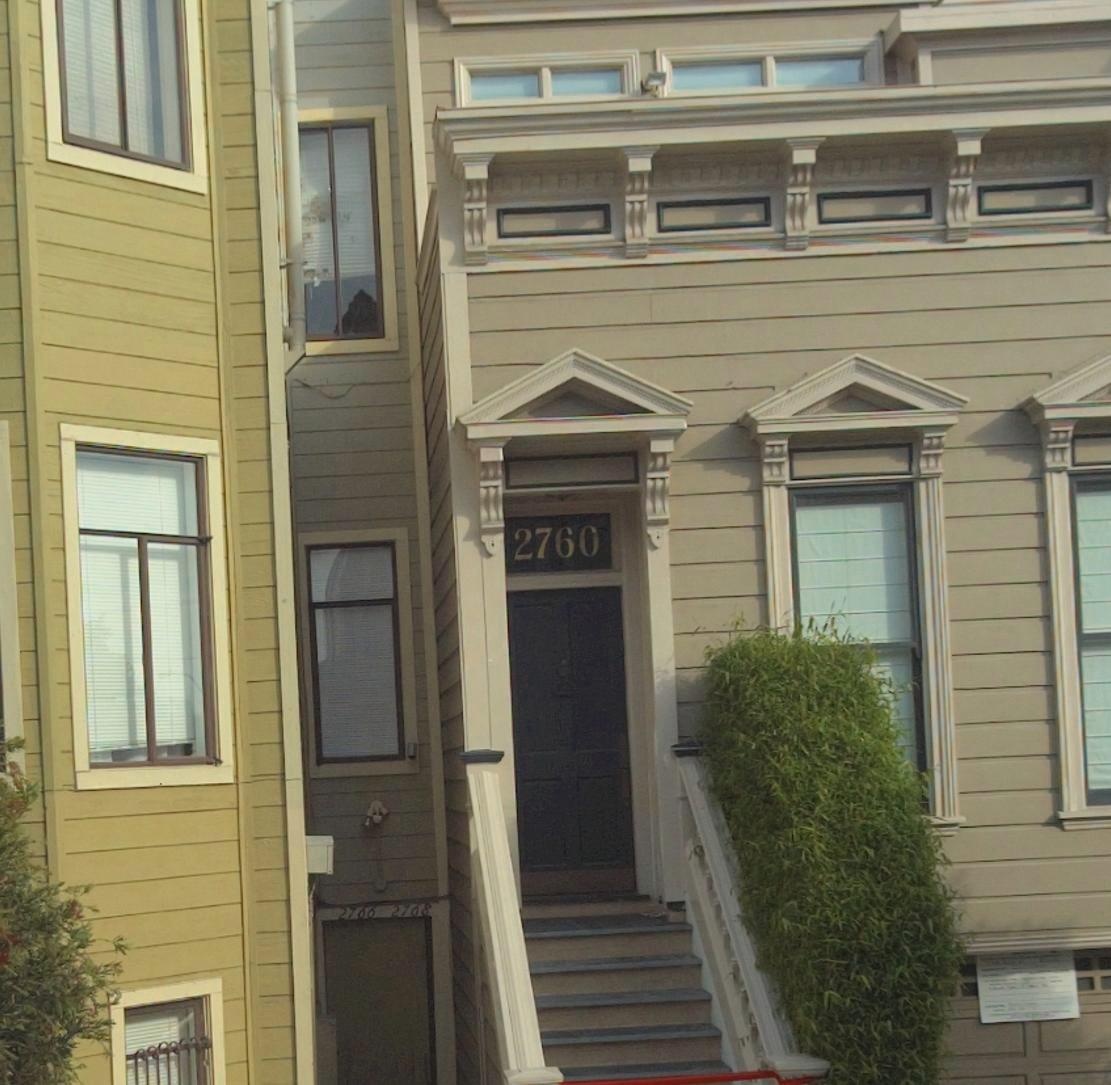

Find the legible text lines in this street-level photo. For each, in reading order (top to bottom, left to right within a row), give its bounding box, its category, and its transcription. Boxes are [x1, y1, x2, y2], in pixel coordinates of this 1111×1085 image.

[510, 520, 603, 565] StreetNumber: 2760